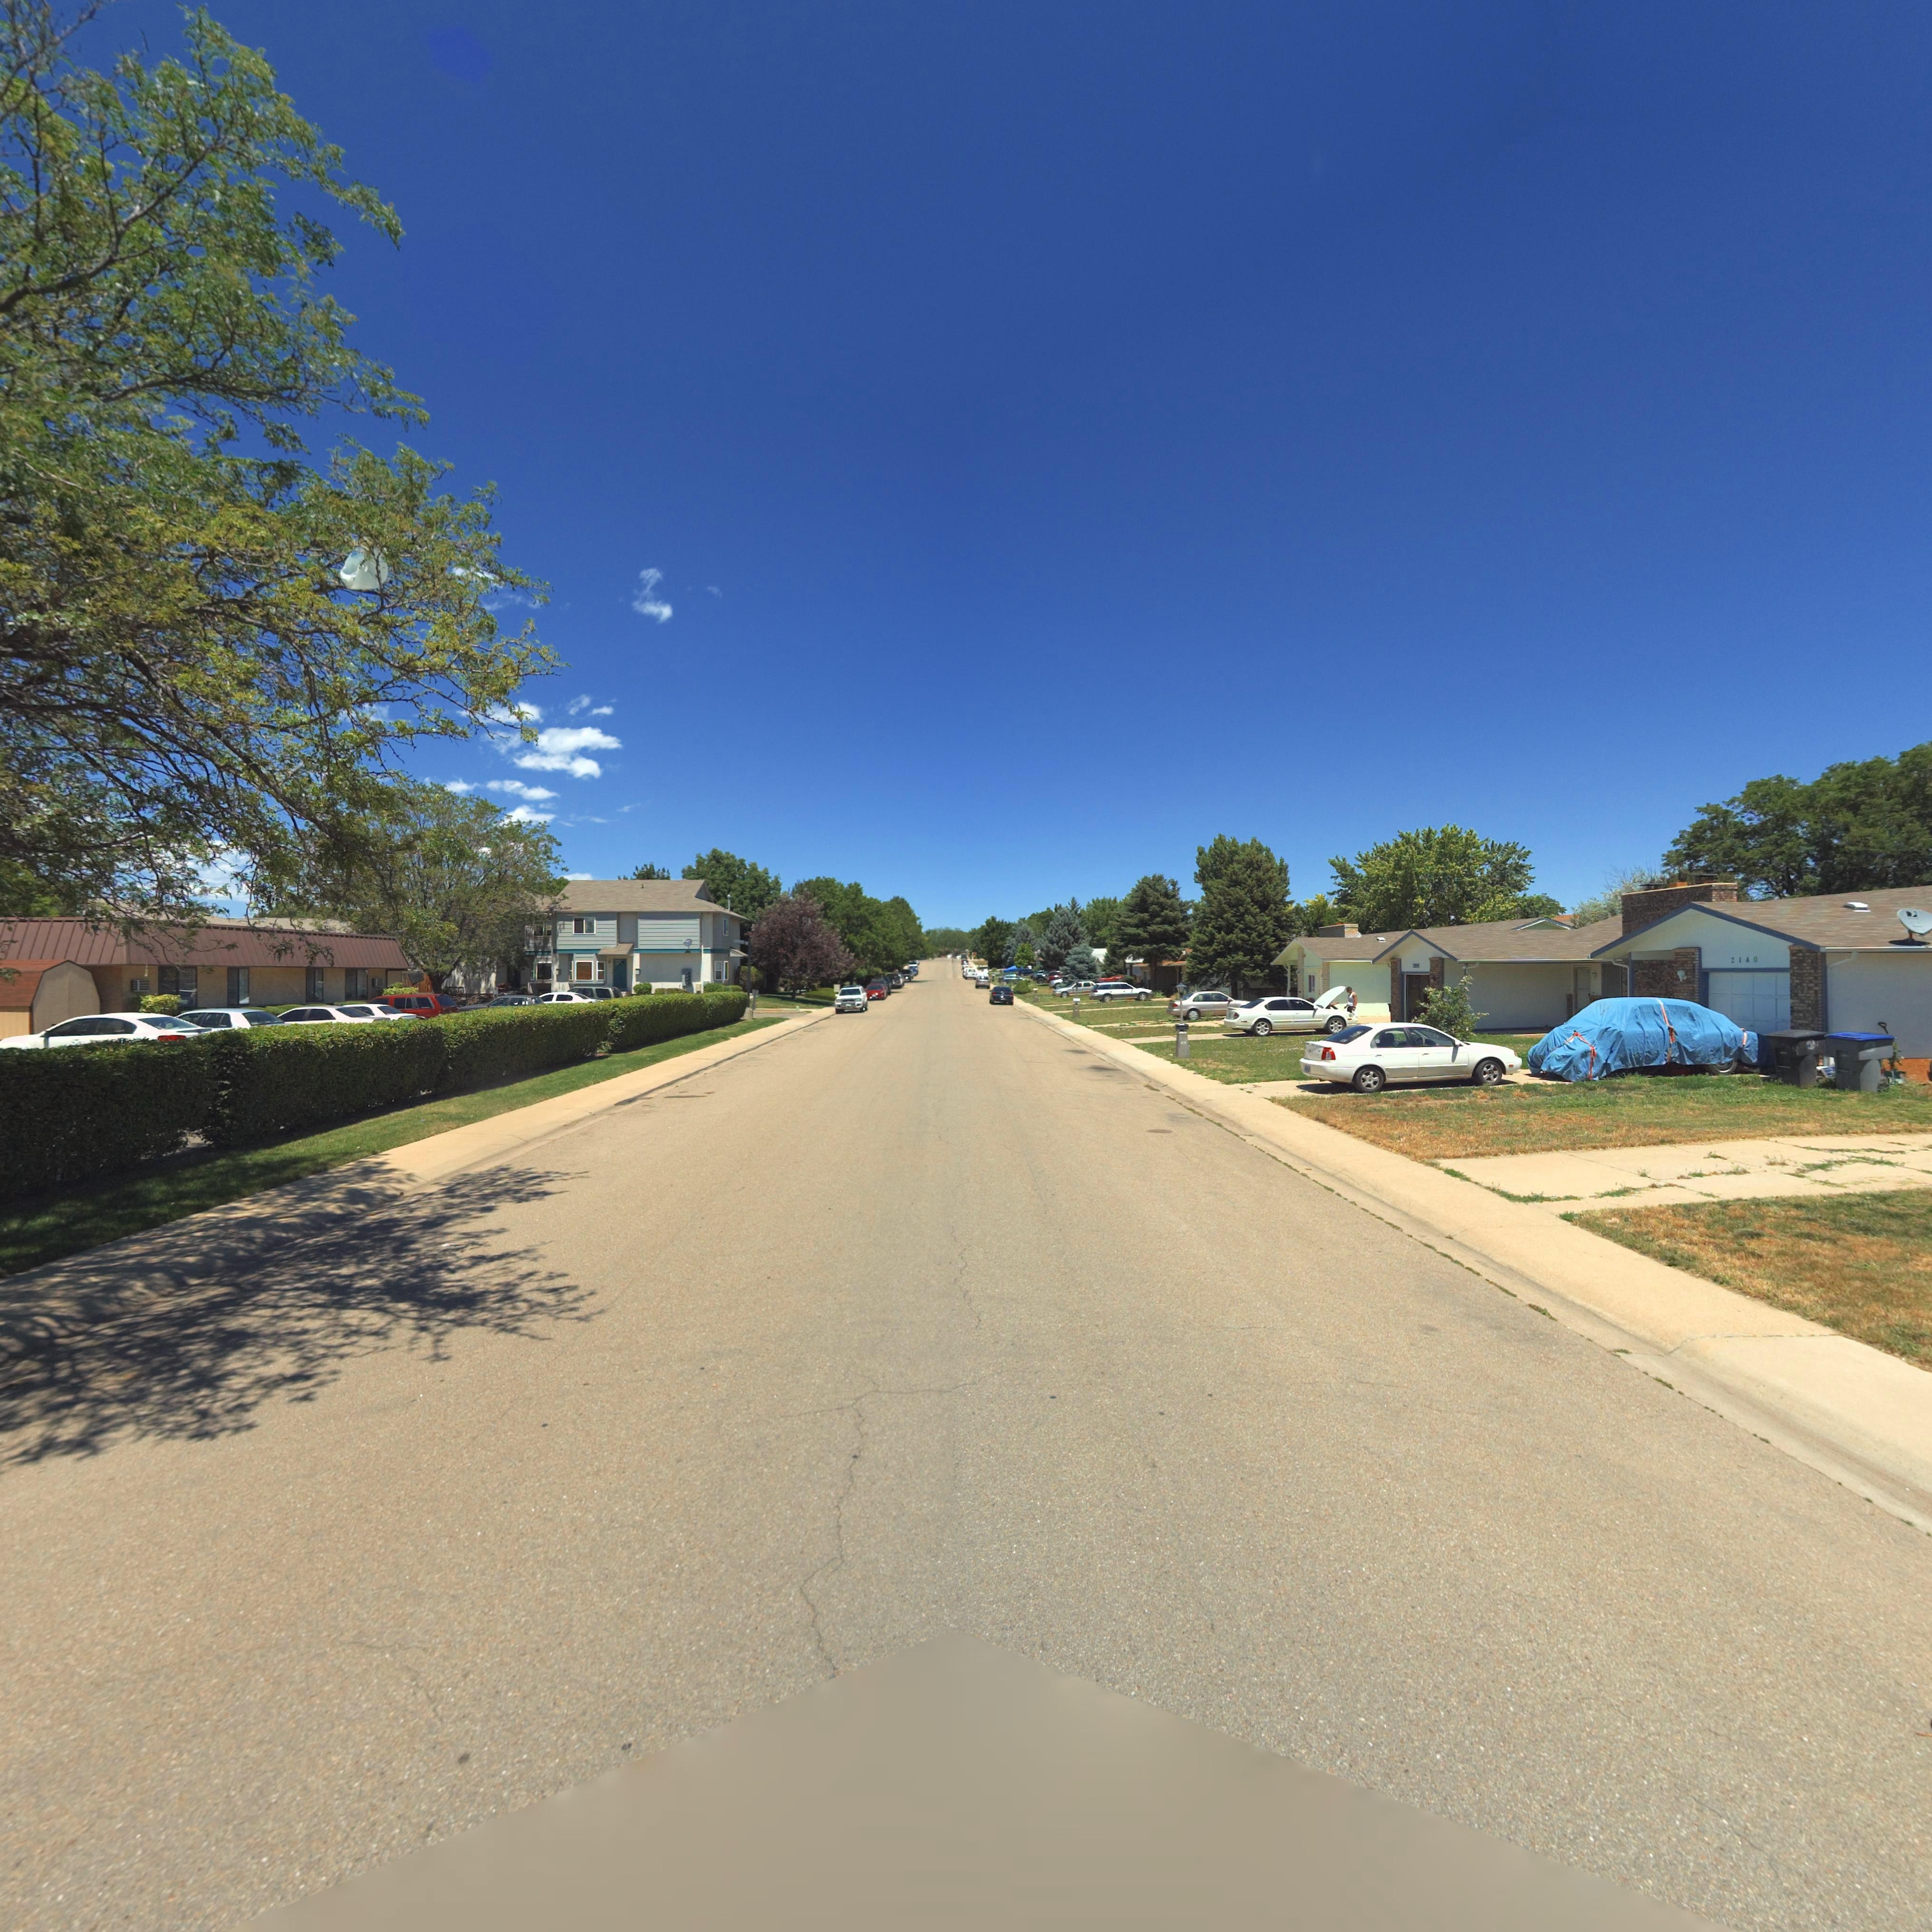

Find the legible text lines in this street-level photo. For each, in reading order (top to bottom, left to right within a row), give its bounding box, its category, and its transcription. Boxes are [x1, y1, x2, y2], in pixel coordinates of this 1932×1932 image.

[1729, 955, 1758, 965] StreetNumber: 2140